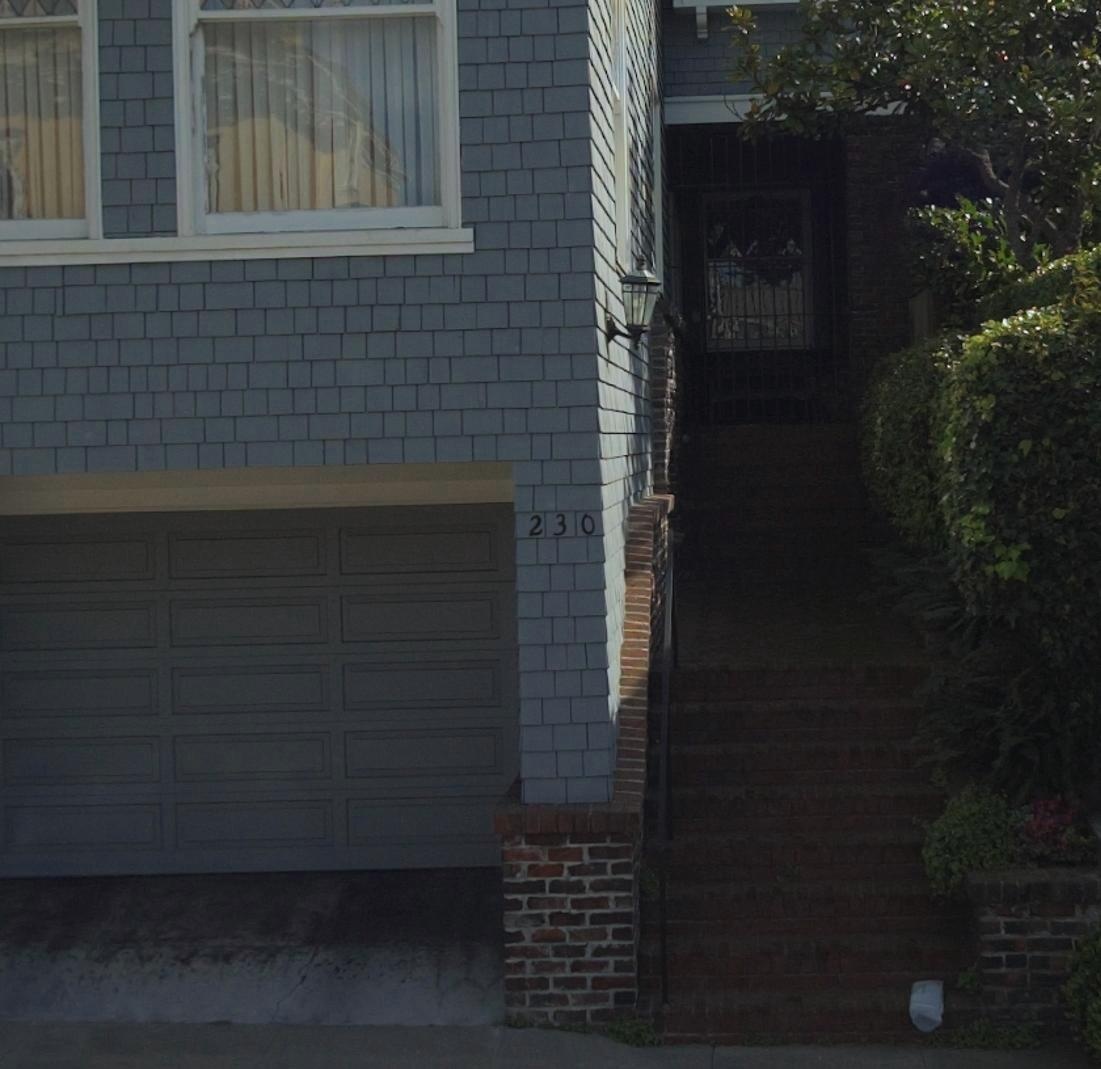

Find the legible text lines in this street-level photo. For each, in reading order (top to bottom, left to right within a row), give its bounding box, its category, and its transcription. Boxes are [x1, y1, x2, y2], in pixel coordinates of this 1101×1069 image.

[527, 511, 597, 538] StreetNumber: 230